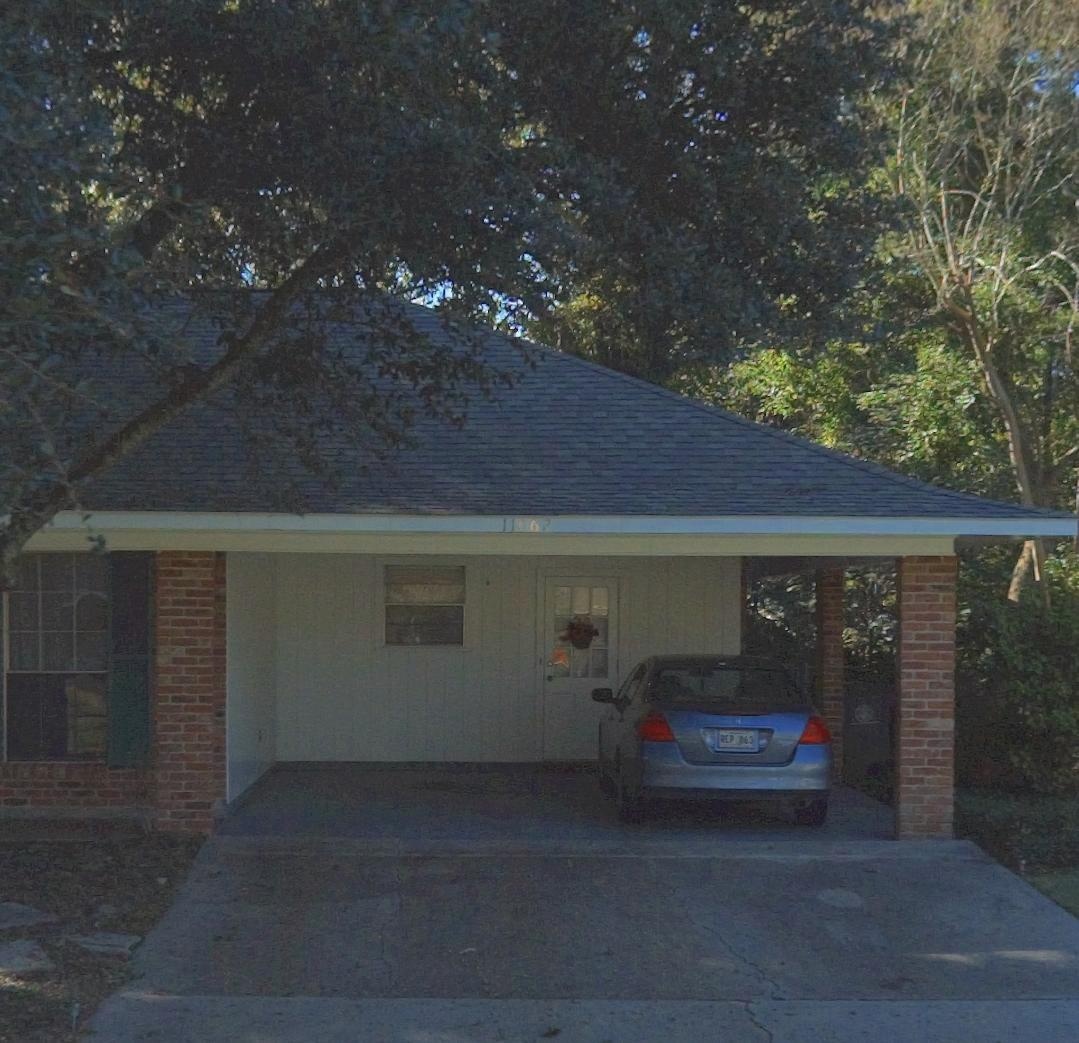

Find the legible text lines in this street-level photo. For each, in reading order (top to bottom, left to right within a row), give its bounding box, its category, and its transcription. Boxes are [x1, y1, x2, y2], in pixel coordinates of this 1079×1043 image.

[500, 515, 553, 534] StreetNumber: 11*62
[718, 732, 757, 748] None: REP *63